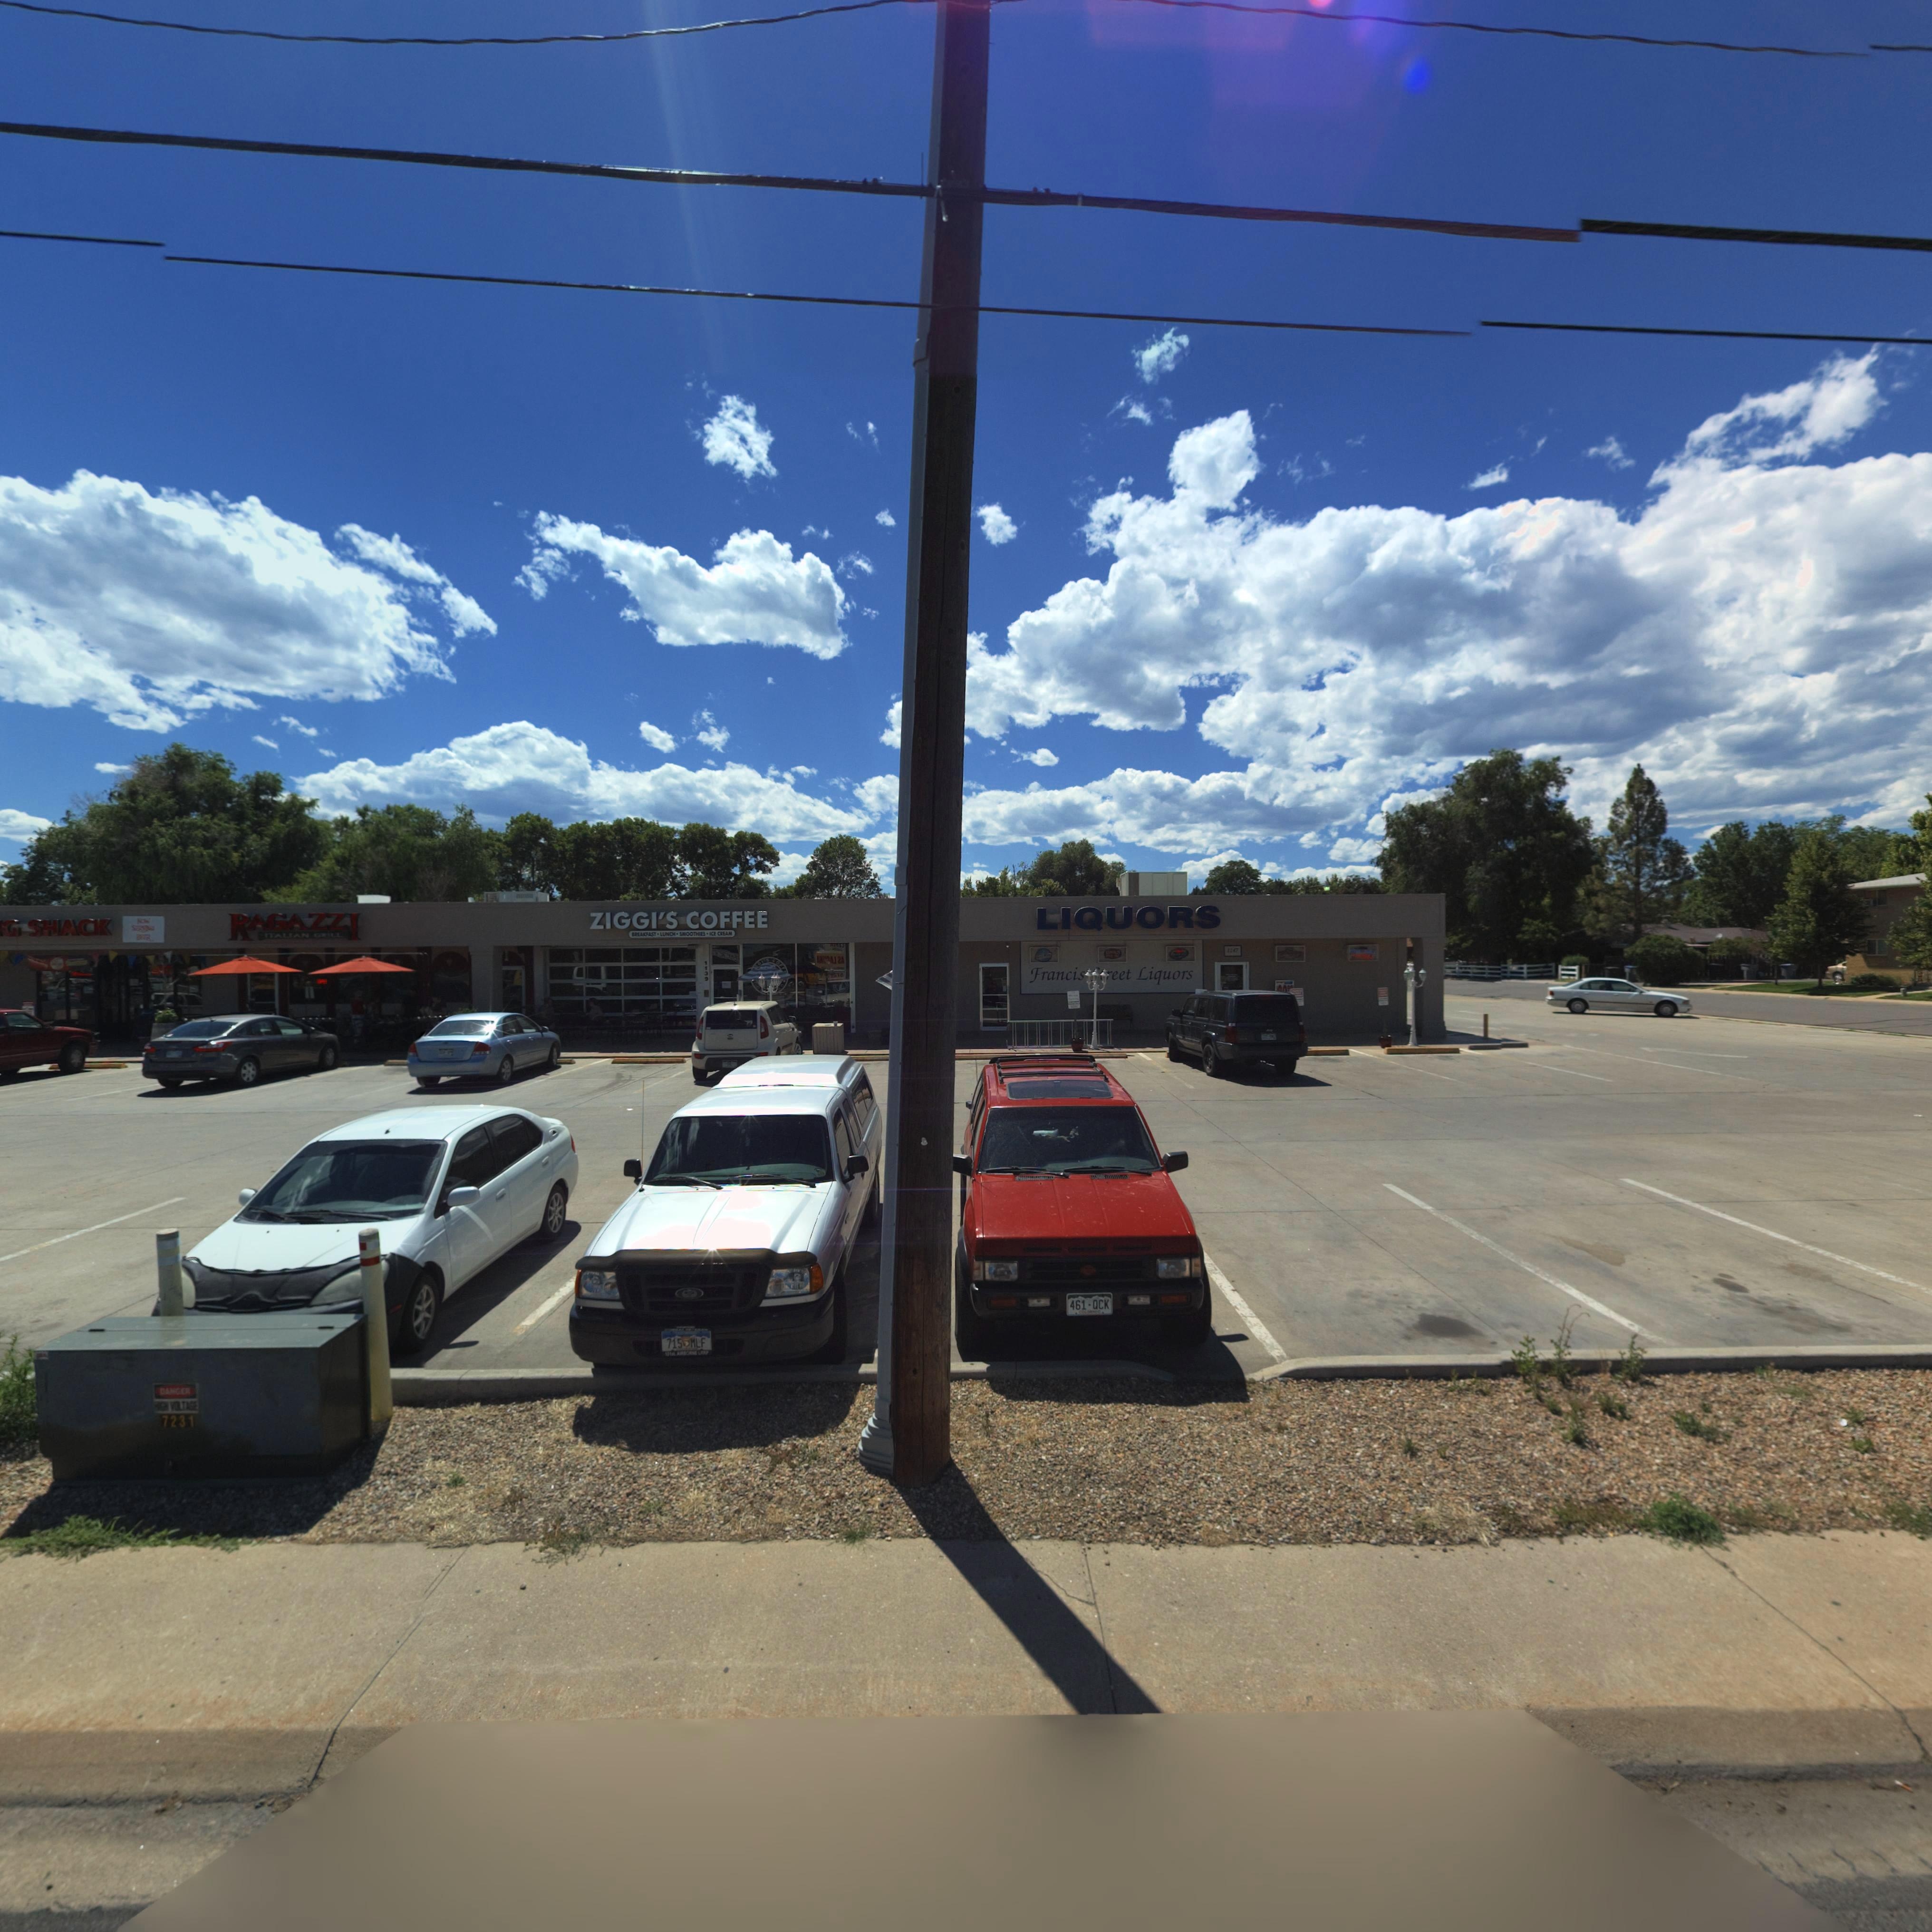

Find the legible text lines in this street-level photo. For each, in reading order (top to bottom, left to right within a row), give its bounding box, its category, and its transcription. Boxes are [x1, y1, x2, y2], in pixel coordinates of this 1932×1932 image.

[0, 917, 111, 937] BusinessName: G SHACK
[227, 912, 361, 941] BusinessName: RAGAZZI
[589, 910, 768, 930] None: ZIGGI'S COFFEE
[1227, 947, 1239, 953] StreetNumber: 1147
[704, 960, 708, 981] StreetNumber: 1139
[1029, 966, 1194, 985] BusinessName: Francis ***eet Liquors